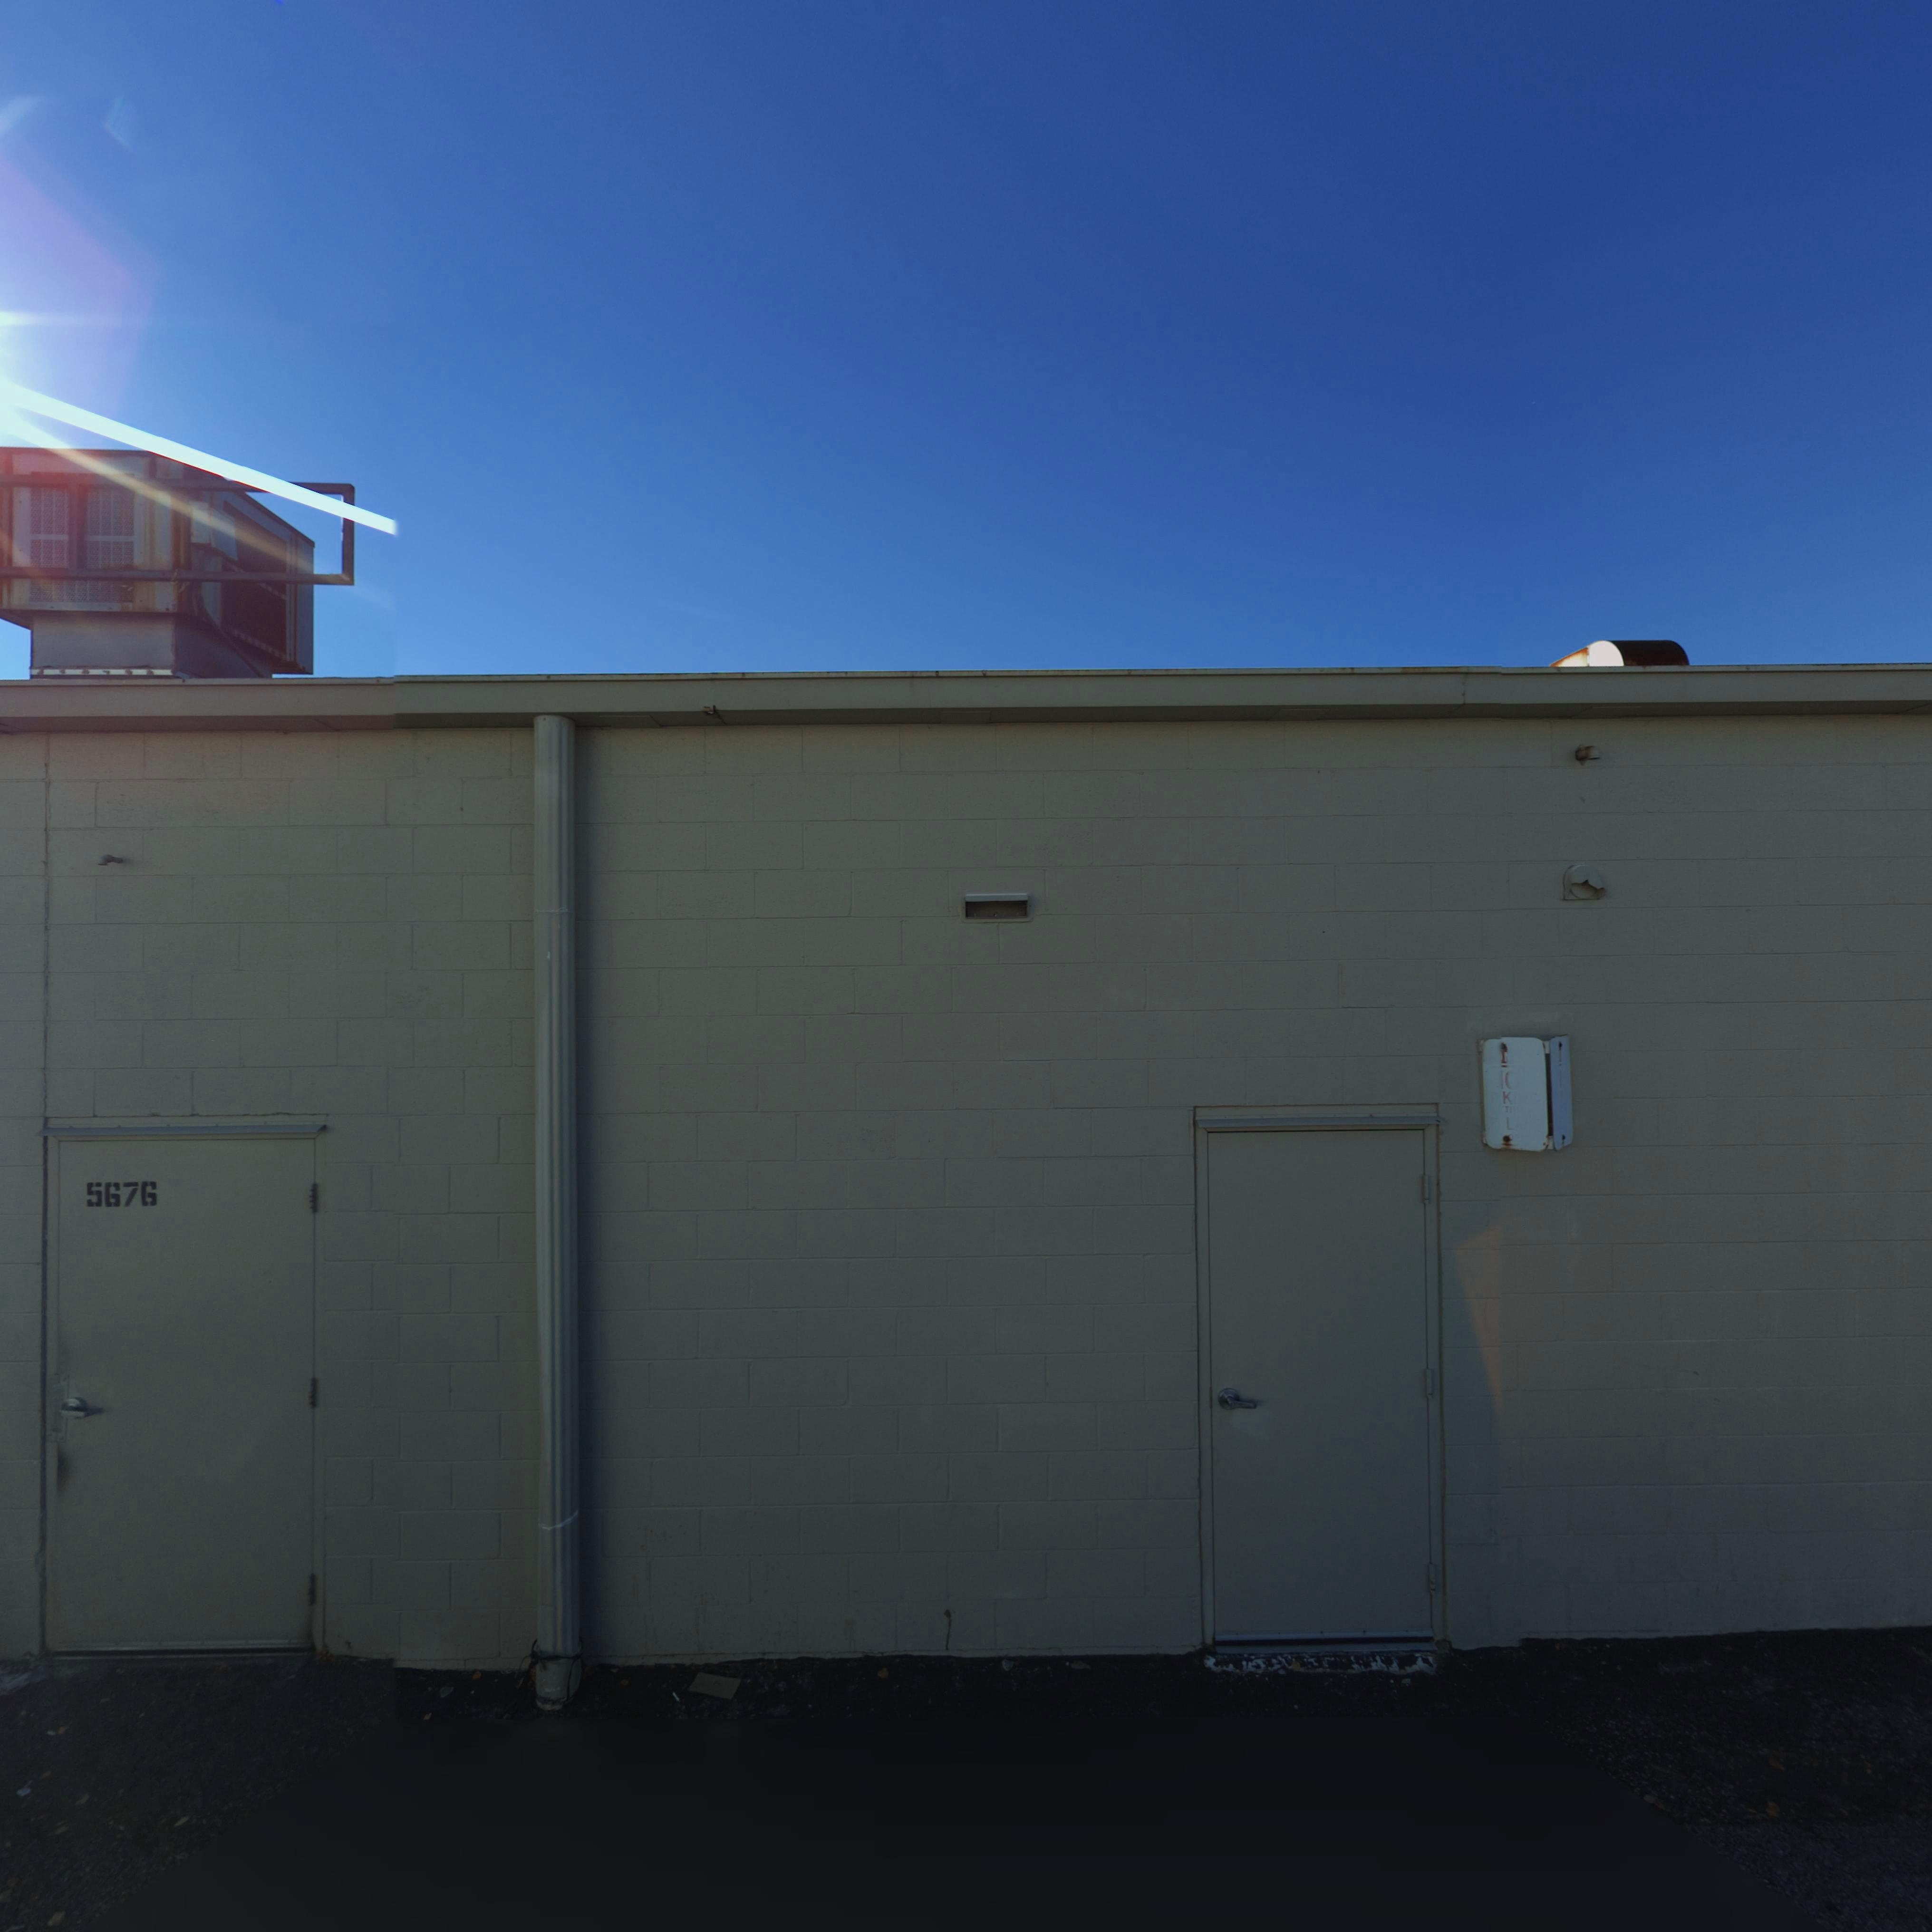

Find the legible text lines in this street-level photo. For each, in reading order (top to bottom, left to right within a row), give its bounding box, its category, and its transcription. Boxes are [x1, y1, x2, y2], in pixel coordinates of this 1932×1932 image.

[86, 1180, 158, 1208] StreetNumber: 5676